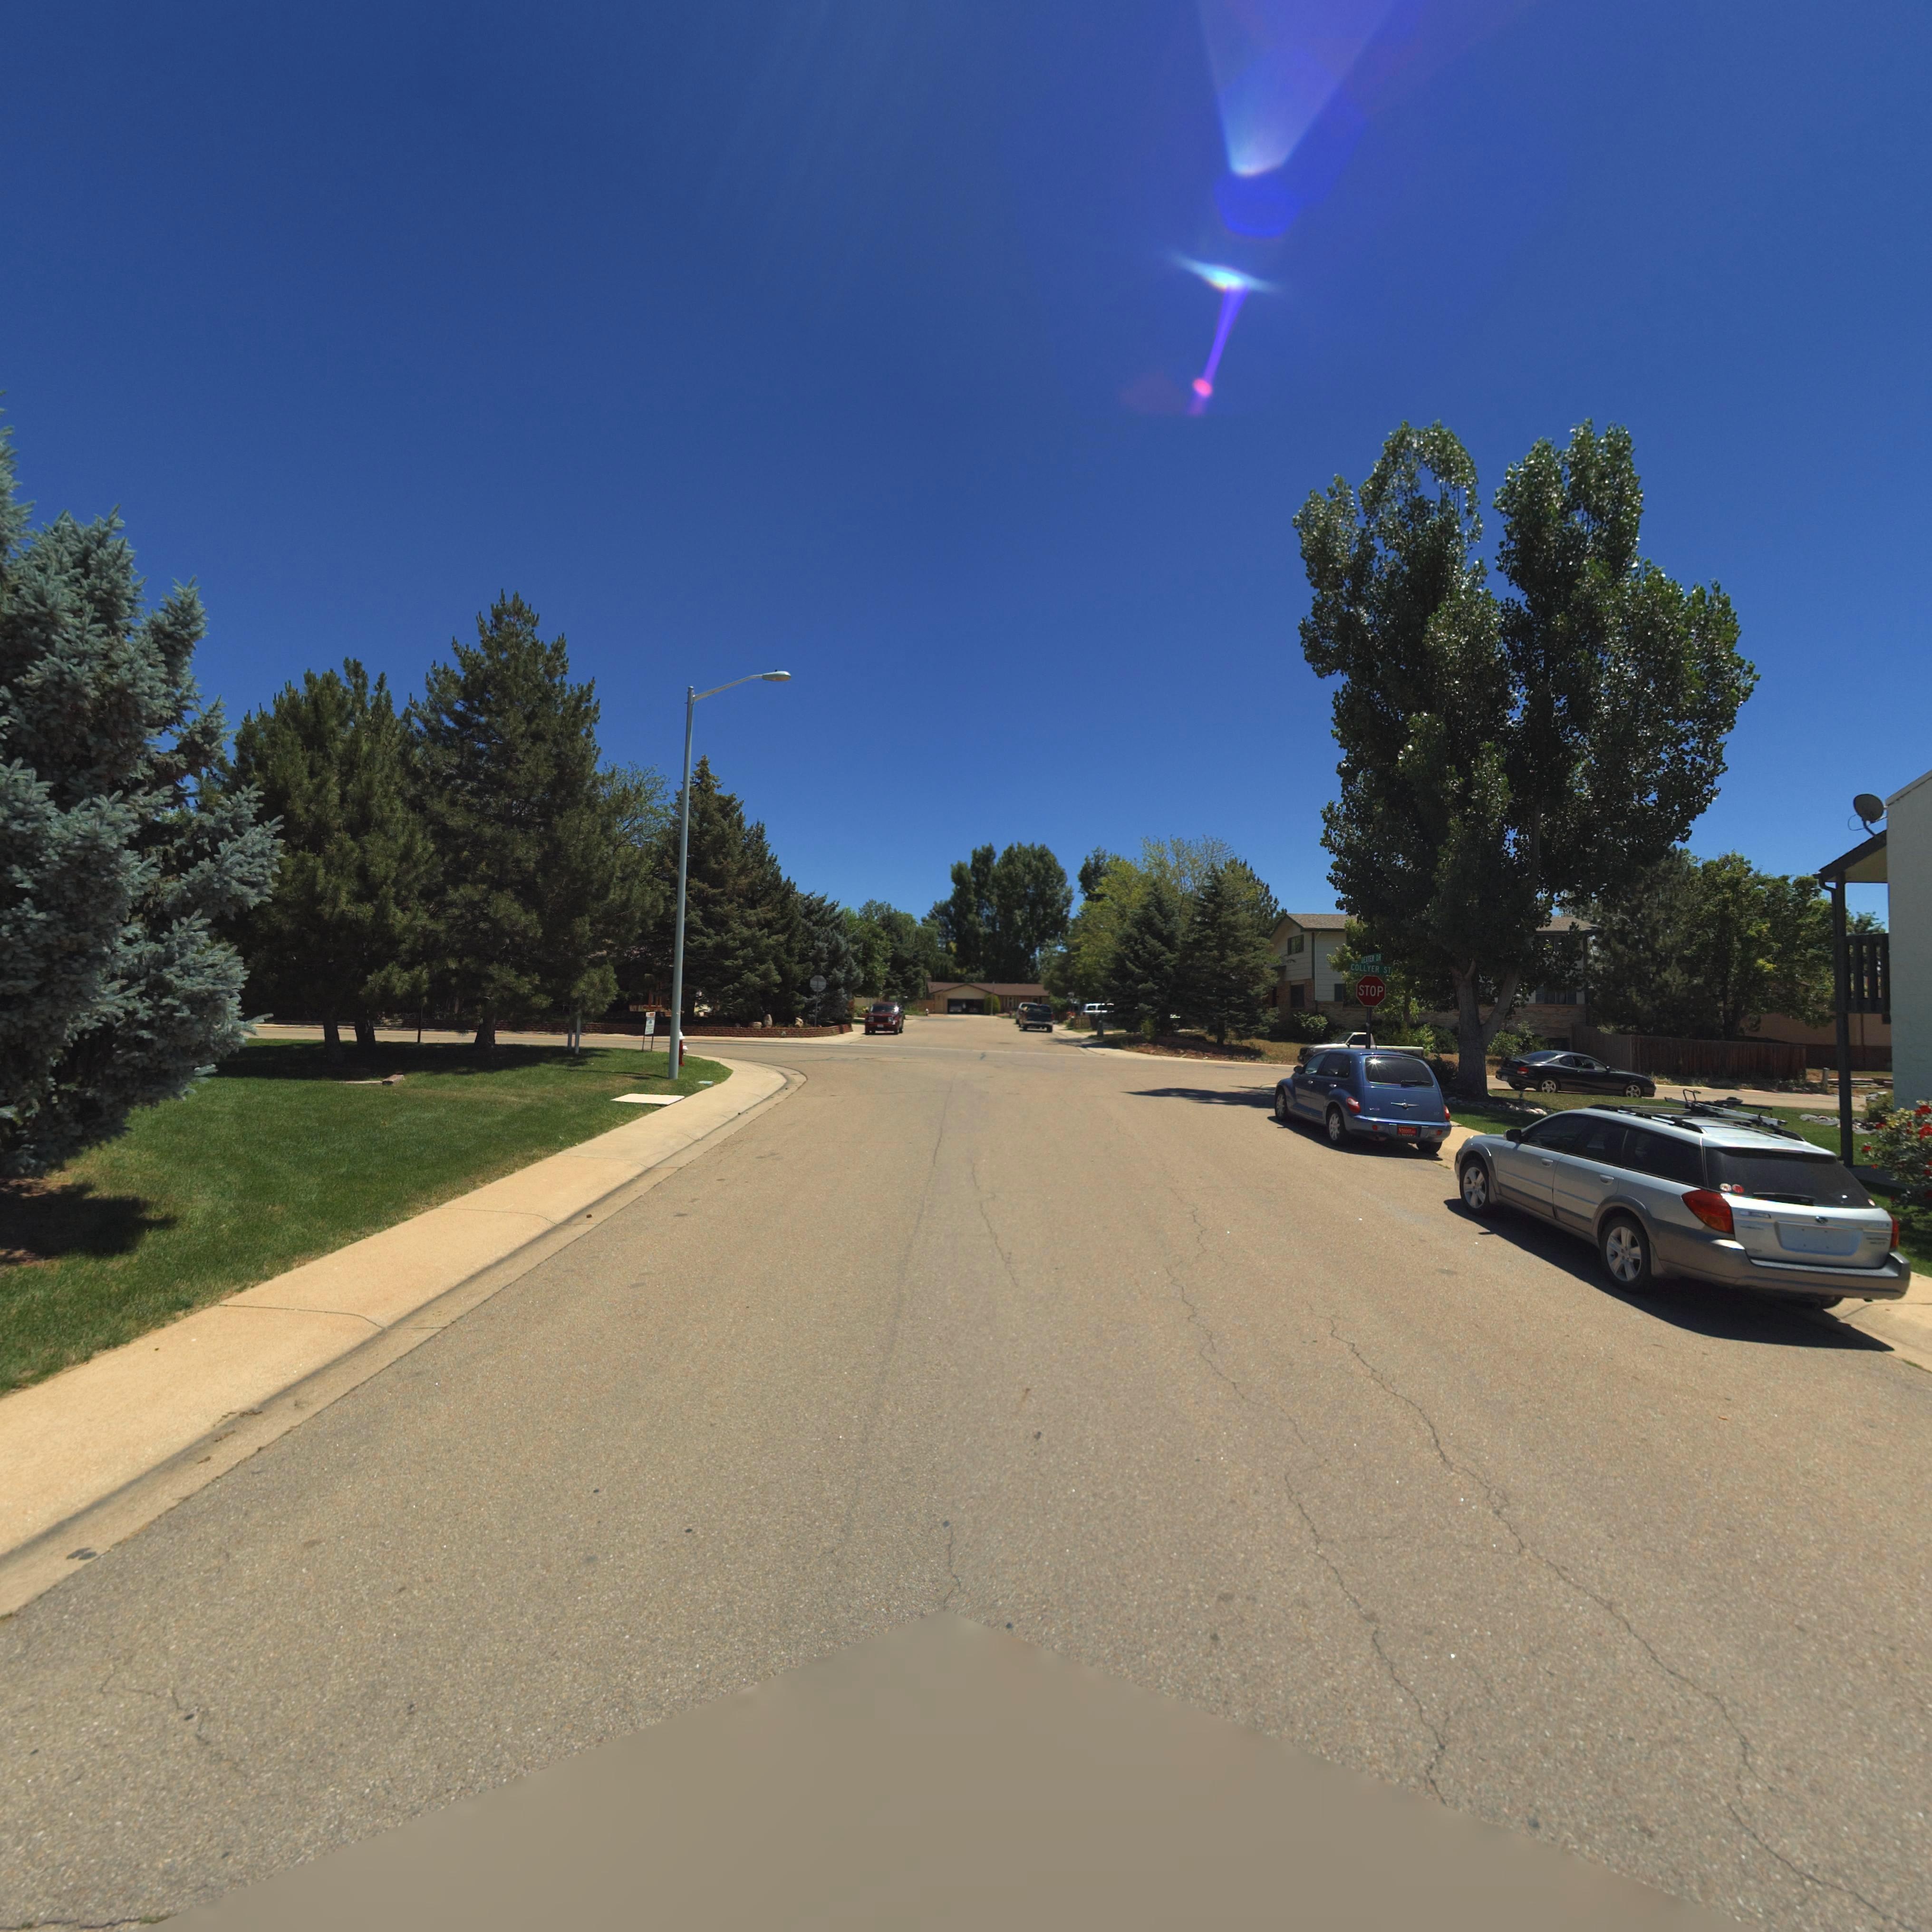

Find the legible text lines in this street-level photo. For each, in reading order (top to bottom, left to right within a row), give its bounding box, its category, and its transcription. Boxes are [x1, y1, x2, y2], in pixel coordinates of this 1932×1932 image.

[1361, 954, 1381, 964] StreetName: DEXTER DR
[1351, 964, 1391, 974] StreetName: COLLYER ST